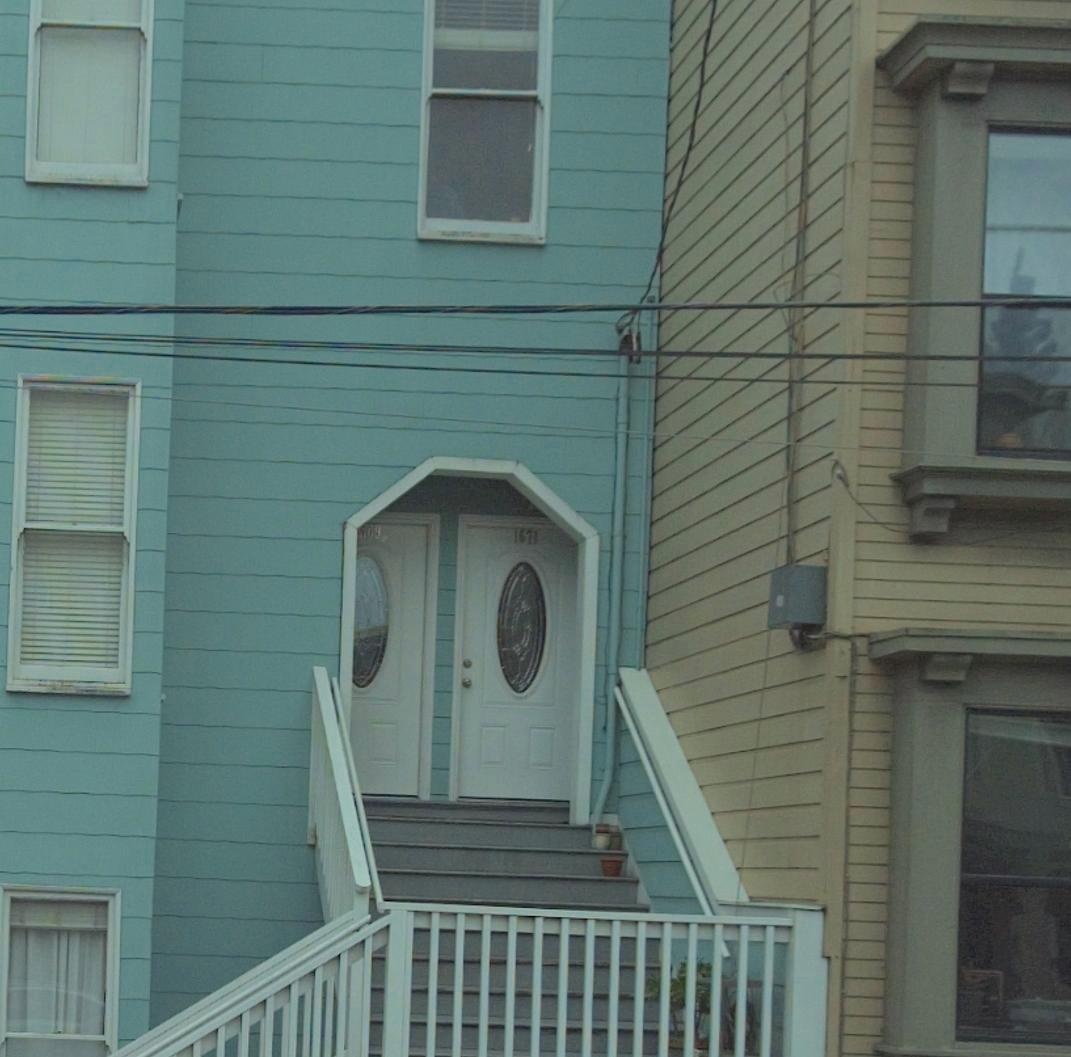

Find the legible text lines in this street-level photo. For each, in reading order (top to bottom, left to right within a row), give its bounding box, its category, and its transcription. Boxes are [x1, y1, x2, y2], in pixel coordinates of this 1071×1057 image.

[366, 524, 382, 540] StreetNumber: 69
[513, 528, 538, 545] StreetNumber: 1671